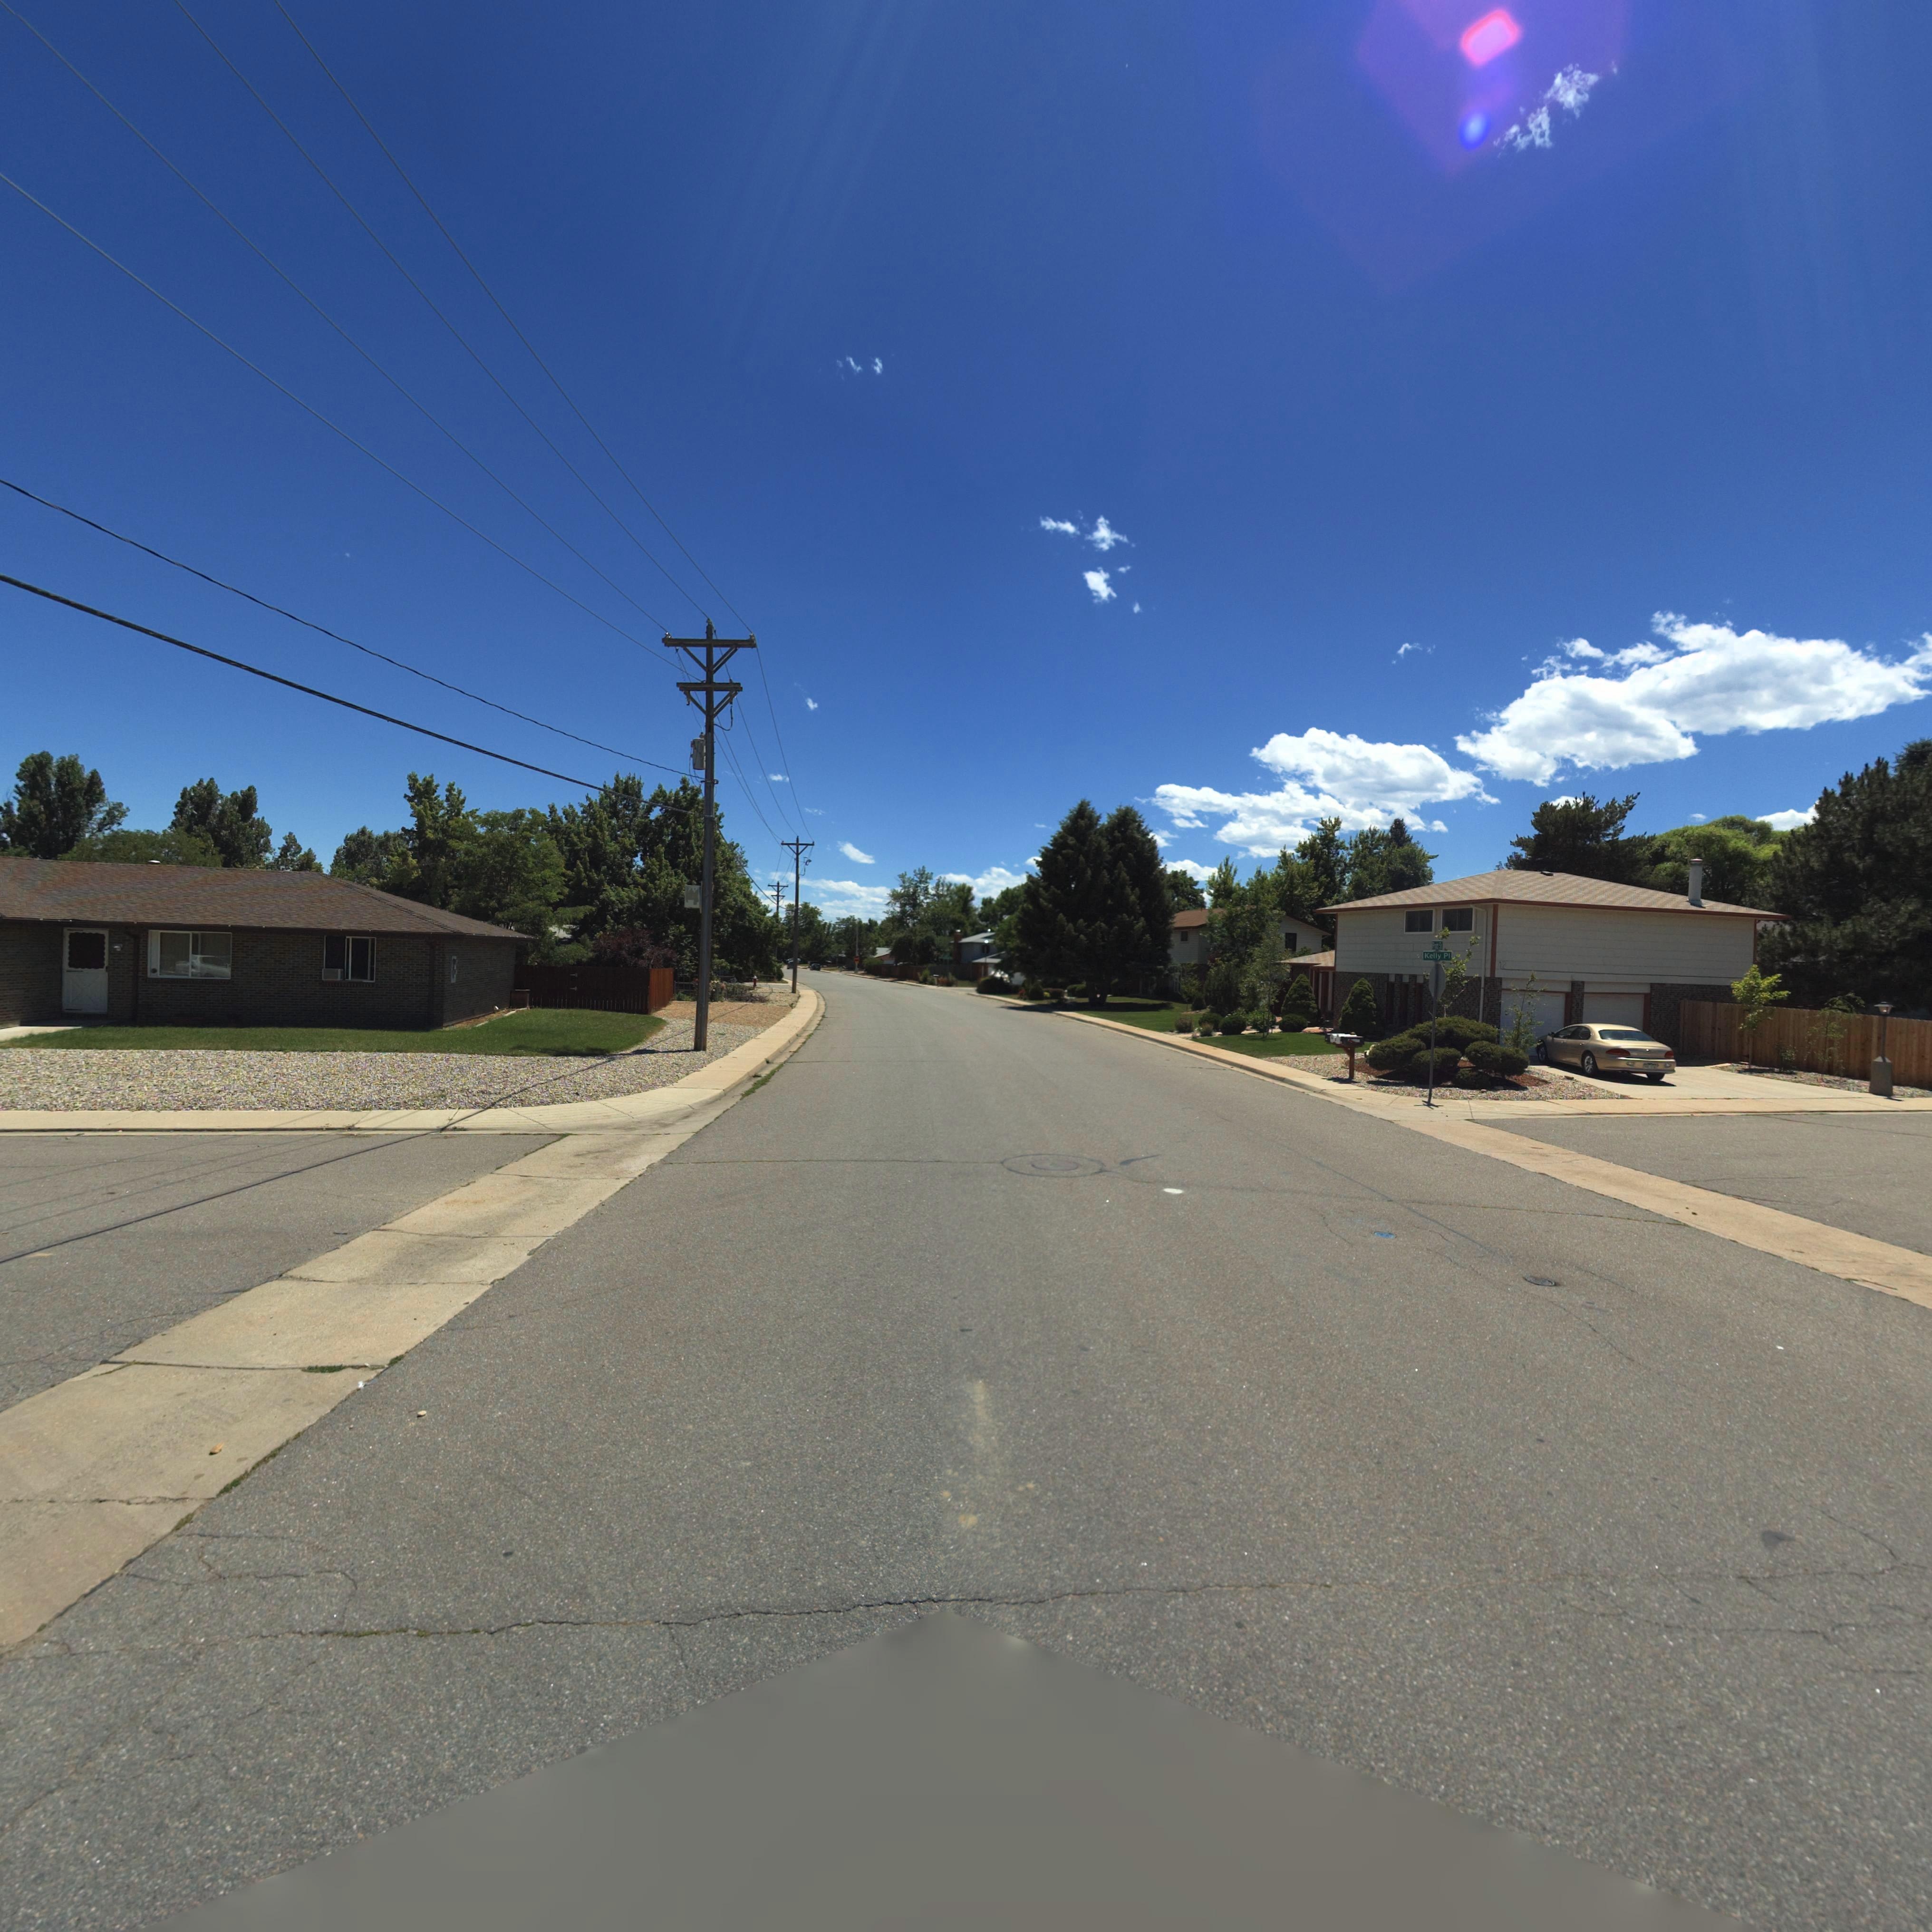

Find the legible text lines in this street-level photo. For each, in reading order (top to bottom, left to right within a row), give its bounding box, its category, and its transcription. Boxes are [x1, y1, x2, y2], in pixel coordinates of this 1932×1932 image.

[1431, 941, 1442, 949] StreetName: P**** S*
[1424, 952, 1450, 960] StreetName: Kelly Pl